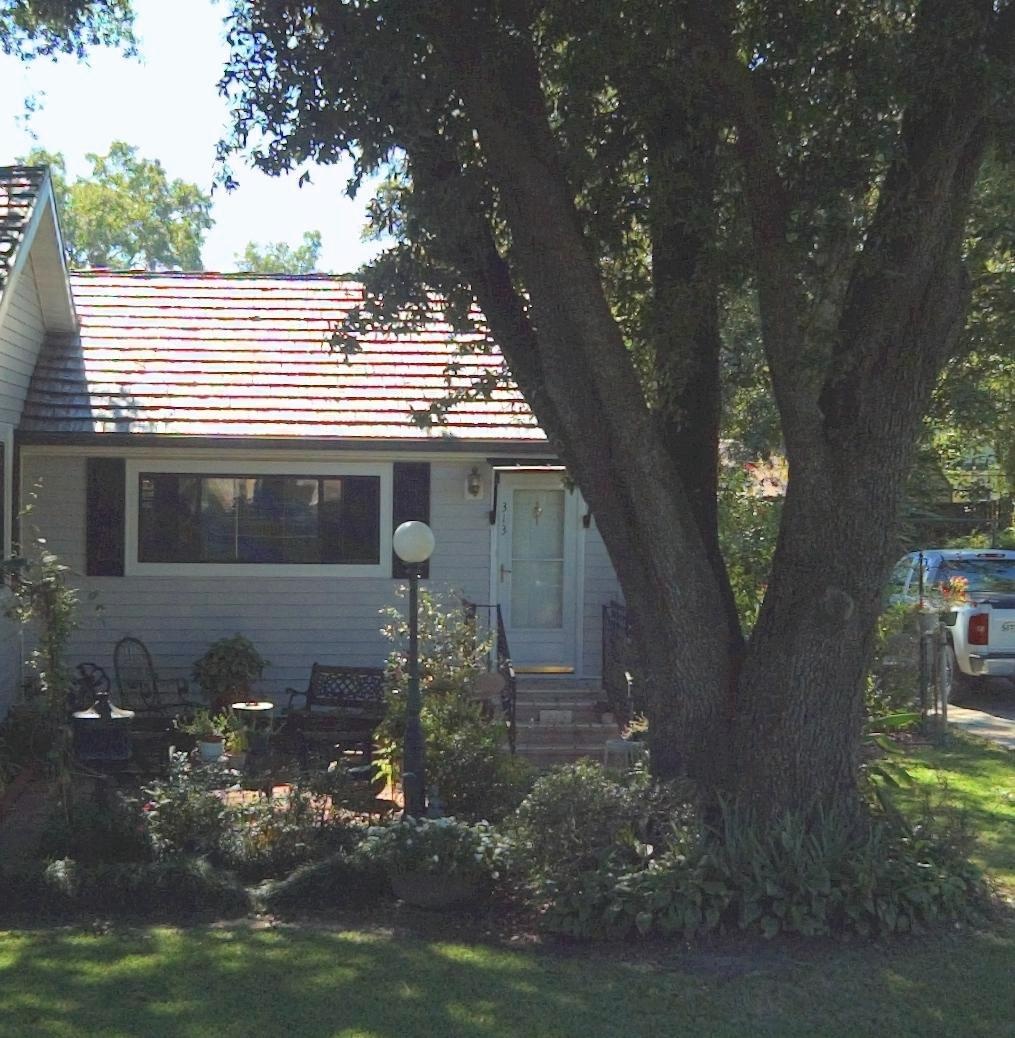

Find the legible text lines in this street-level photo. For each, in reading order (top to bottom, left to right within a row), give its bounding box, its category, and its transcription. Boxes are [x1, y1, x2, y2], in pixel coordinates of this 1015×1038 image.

[500, 500, 508, 538] StreetNumber: 313